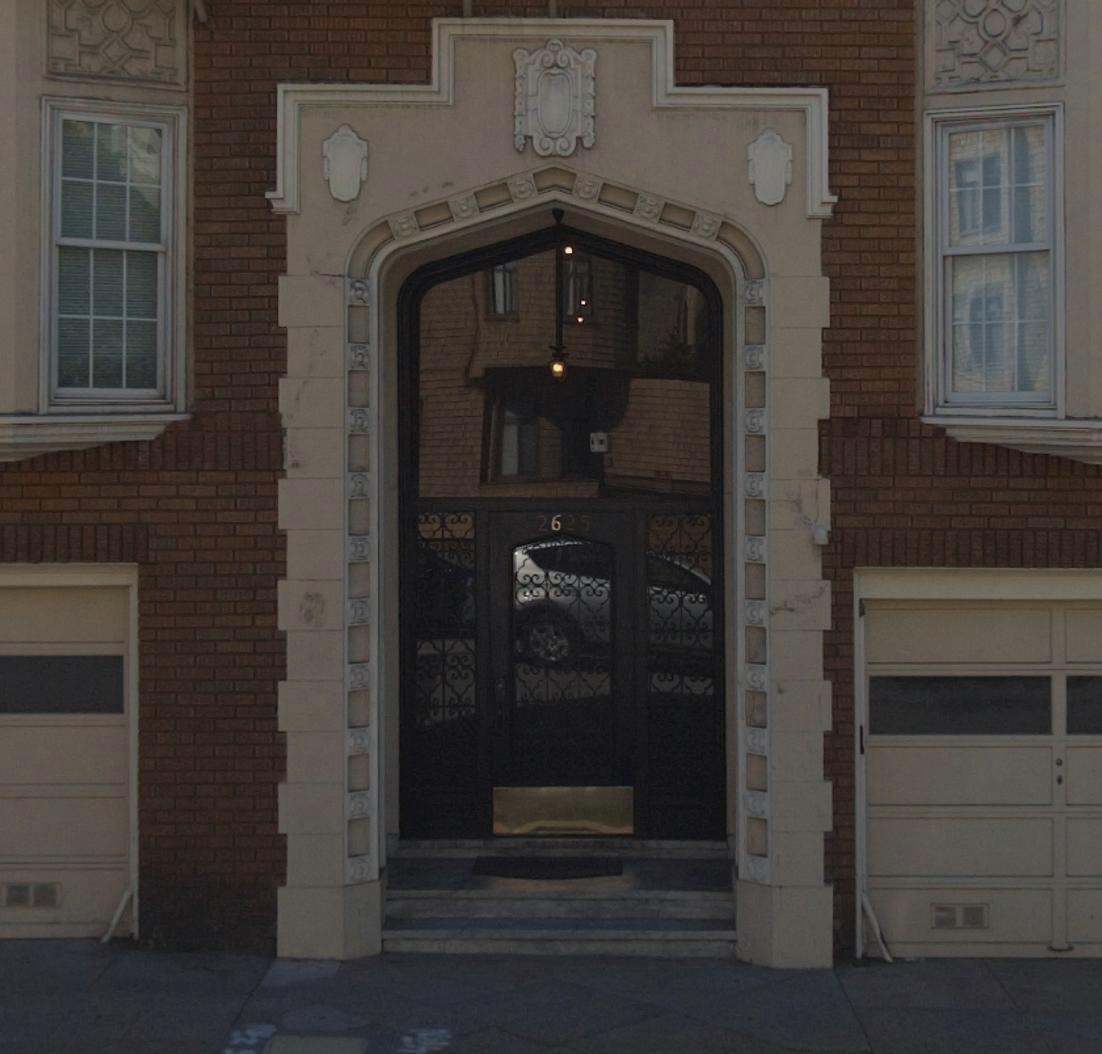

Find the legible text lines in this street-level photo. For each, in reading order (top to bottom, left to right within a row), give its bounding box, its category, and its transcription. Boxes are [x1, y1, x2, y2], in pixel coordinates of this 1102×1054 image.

[536, 513, 590, 533] StreetNumber: 2625